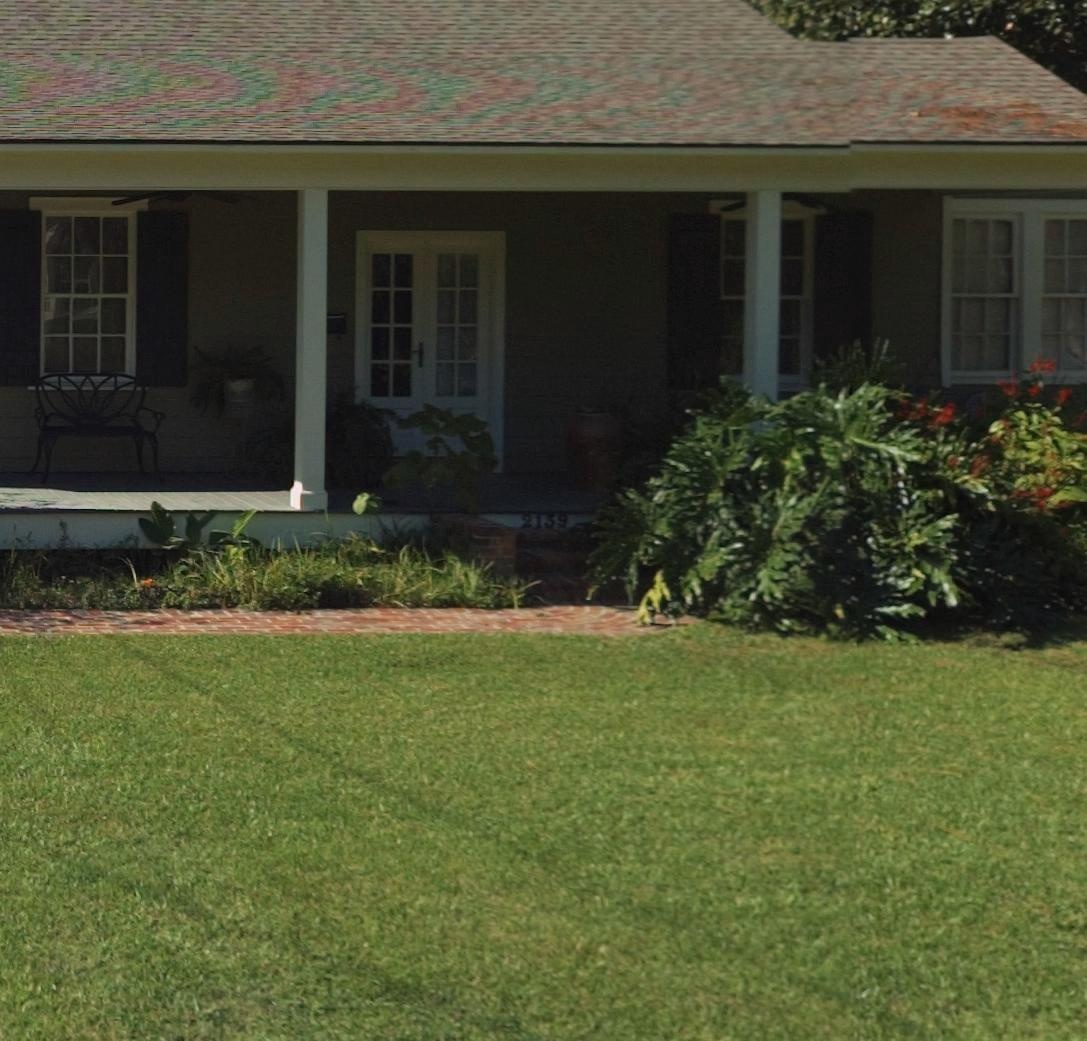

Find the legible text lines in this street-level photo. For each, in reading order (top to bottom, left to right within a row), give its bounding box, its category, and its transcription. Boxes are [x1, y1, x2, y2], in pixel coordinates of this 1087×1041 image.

[518, 511, 571, 529] StreetNumber: 2139